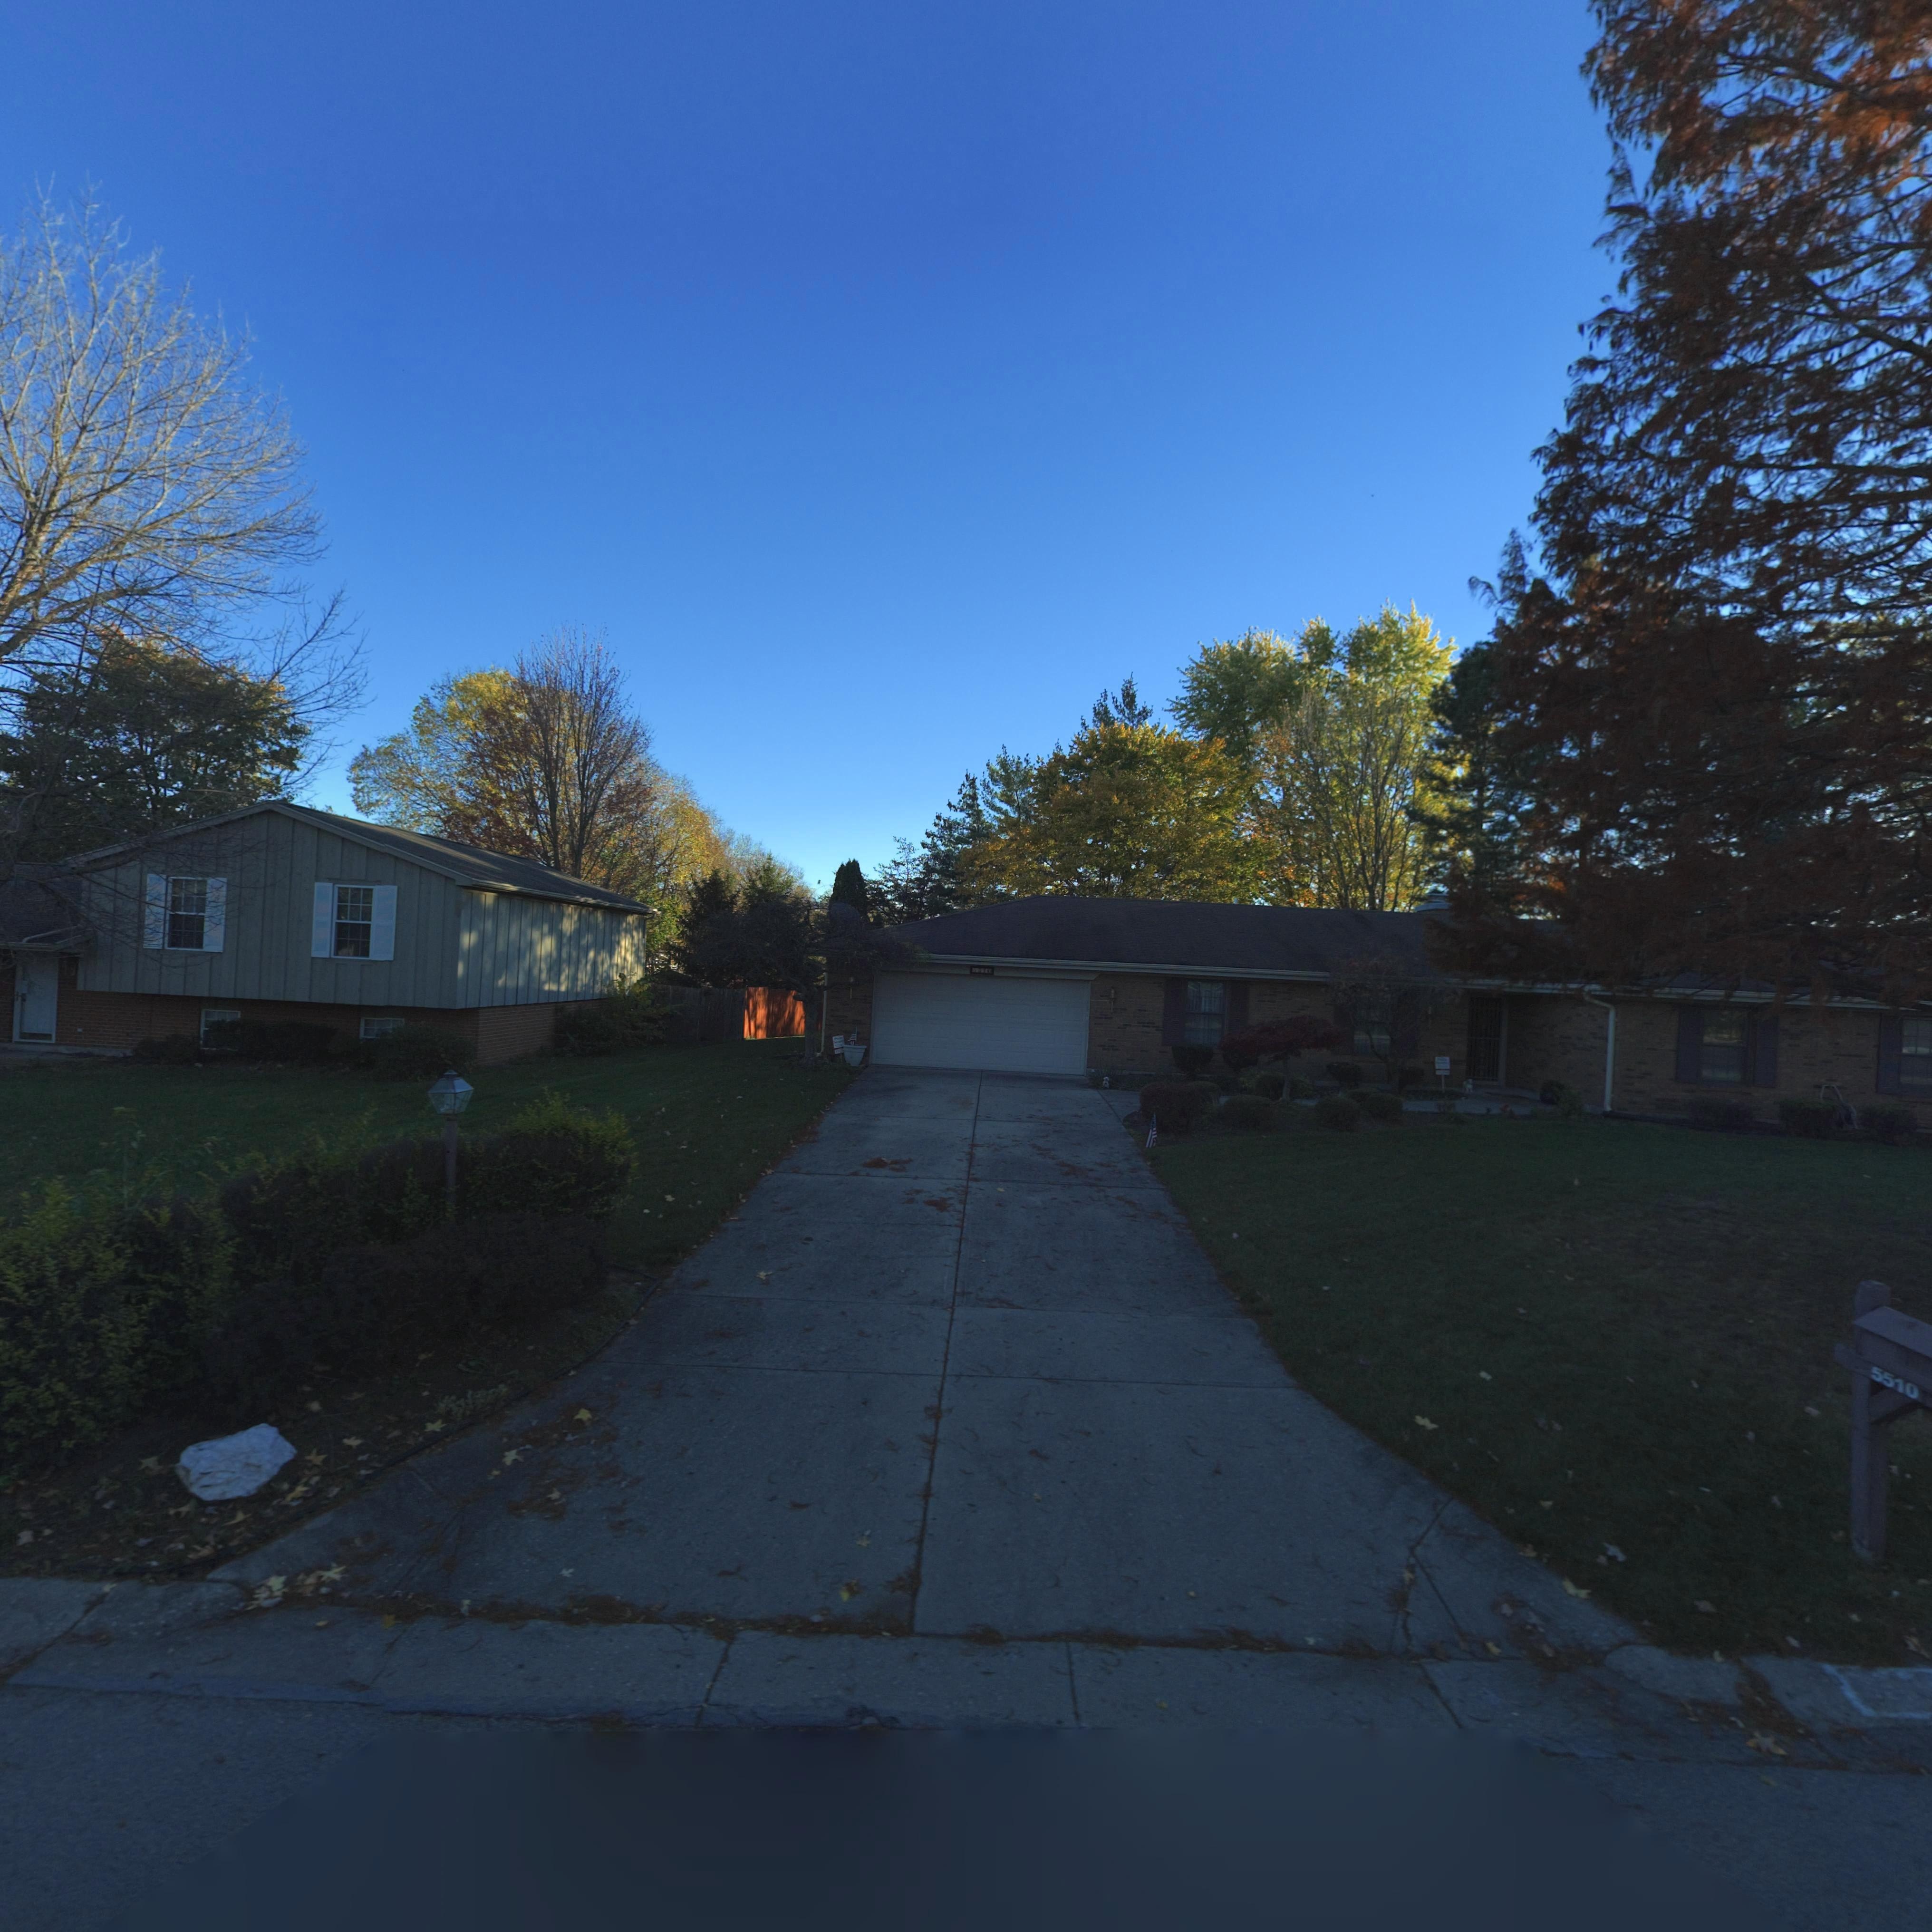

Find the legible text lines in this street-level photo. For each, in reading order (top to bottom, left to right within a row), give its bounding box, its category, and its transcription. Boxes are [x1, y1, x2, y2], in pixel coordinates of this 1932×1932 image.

[971, 966, 994, 975] StreetNumber: **10
[1869, 1364, 1920, 1401] StreetNumber: 5510